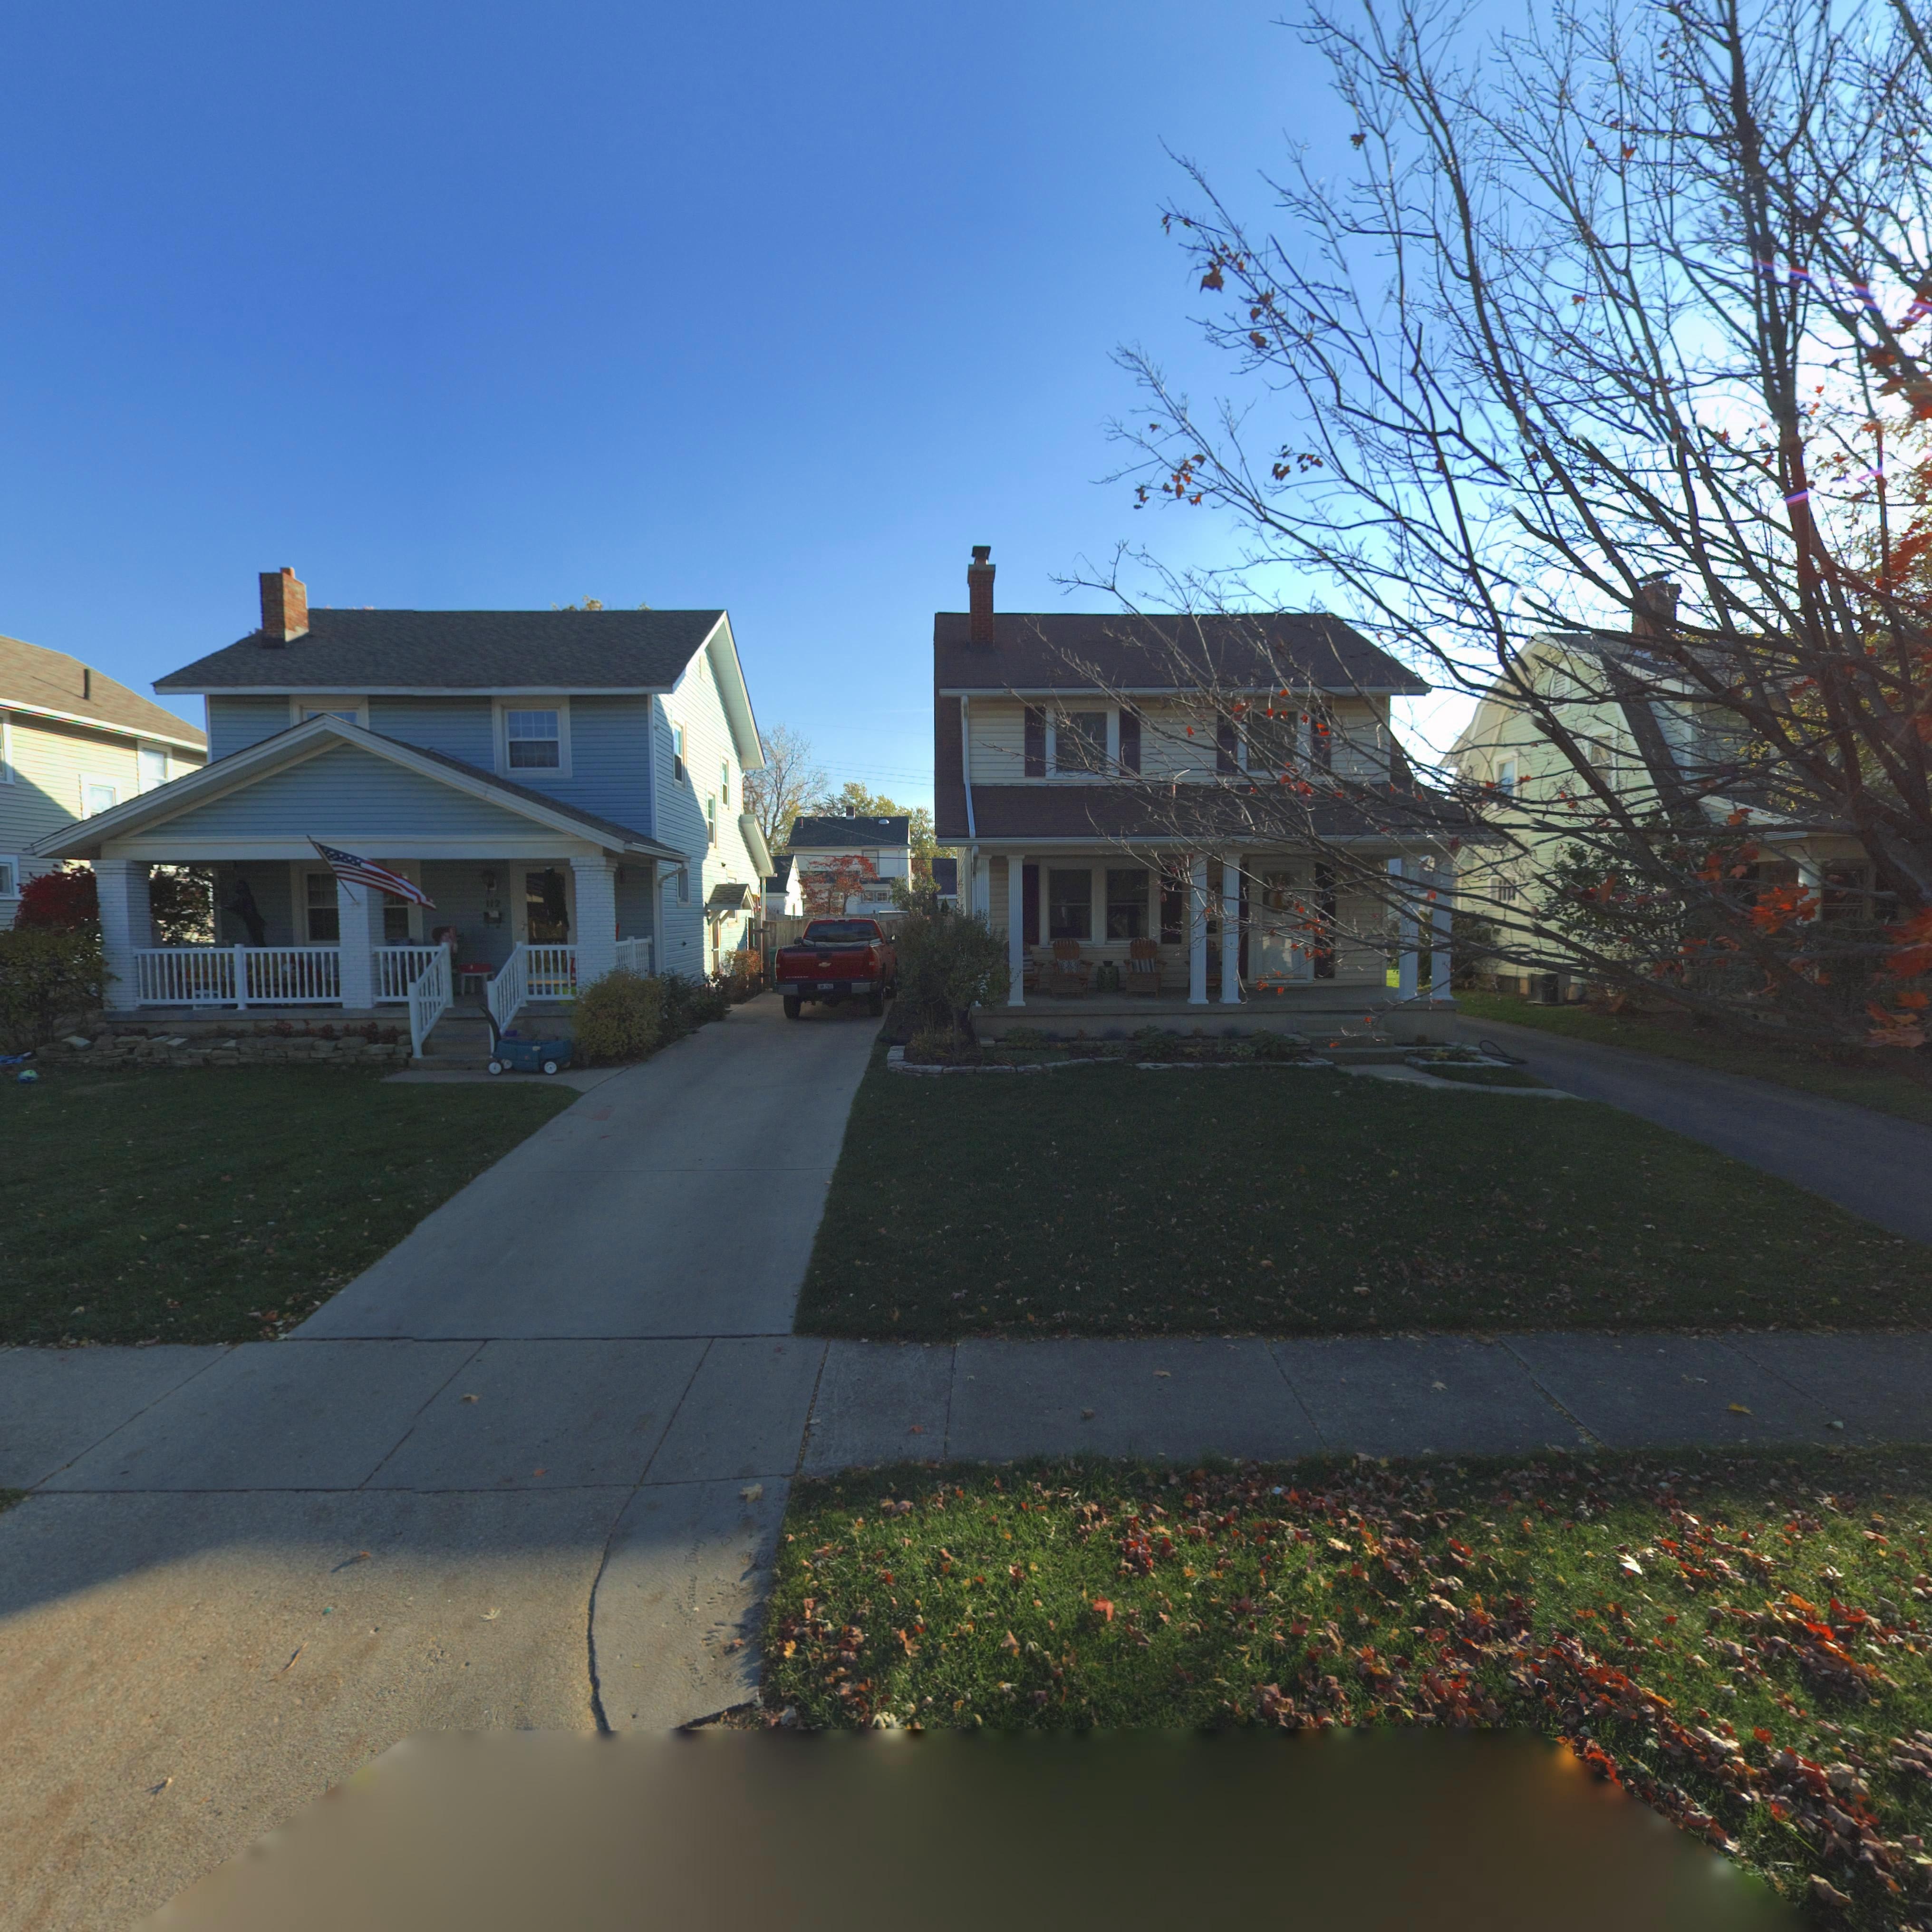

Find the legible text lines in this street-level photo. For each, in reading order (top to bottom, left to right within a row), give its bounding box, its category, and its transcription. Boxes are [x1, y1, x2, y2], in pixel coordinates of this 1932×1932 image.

[485, 899, 501, 908] StreetNumber: 112